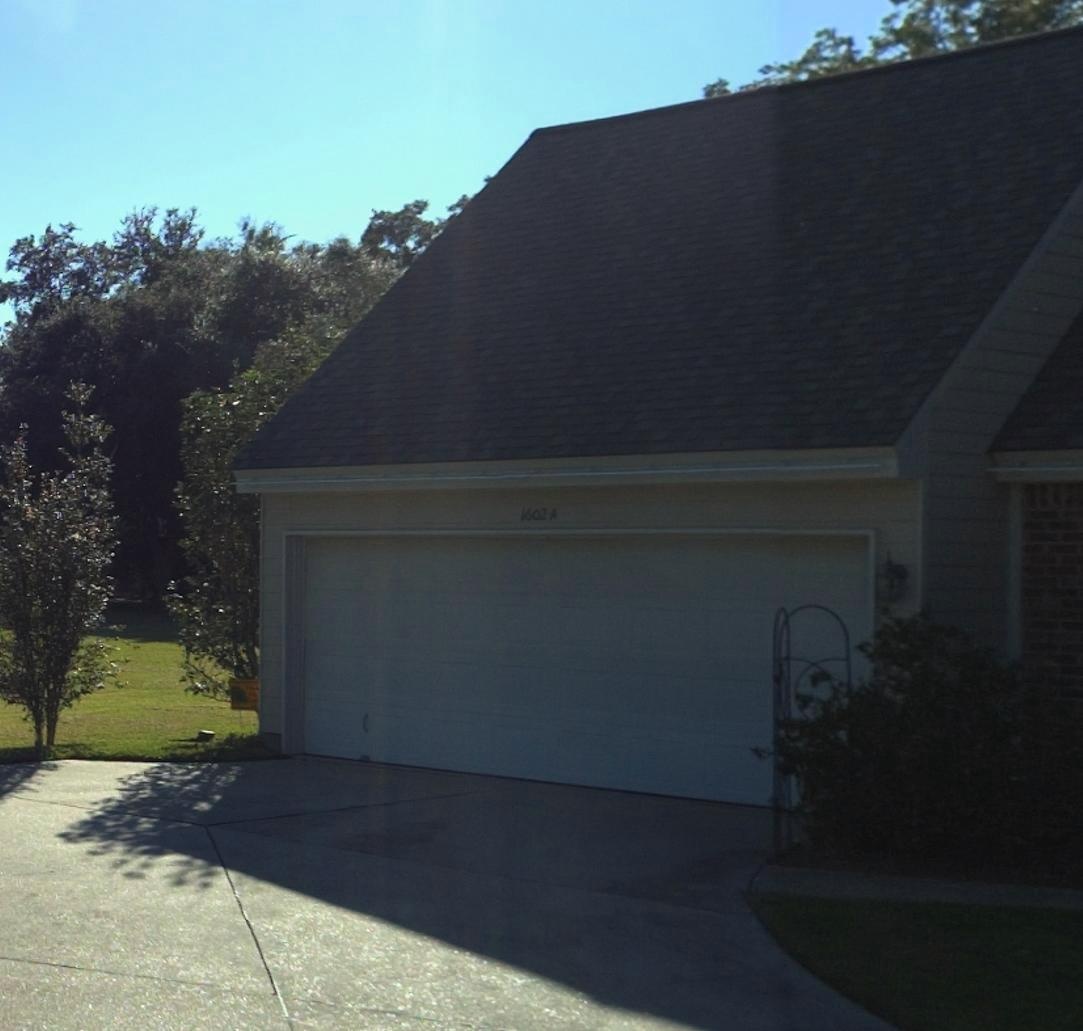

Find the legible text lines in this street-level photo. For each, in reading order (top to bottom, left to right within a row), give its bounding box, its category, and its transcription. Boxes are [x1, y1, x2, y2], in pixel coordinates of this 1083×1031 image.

[520, 507, 559, 522] StreetNumber: 1602 A